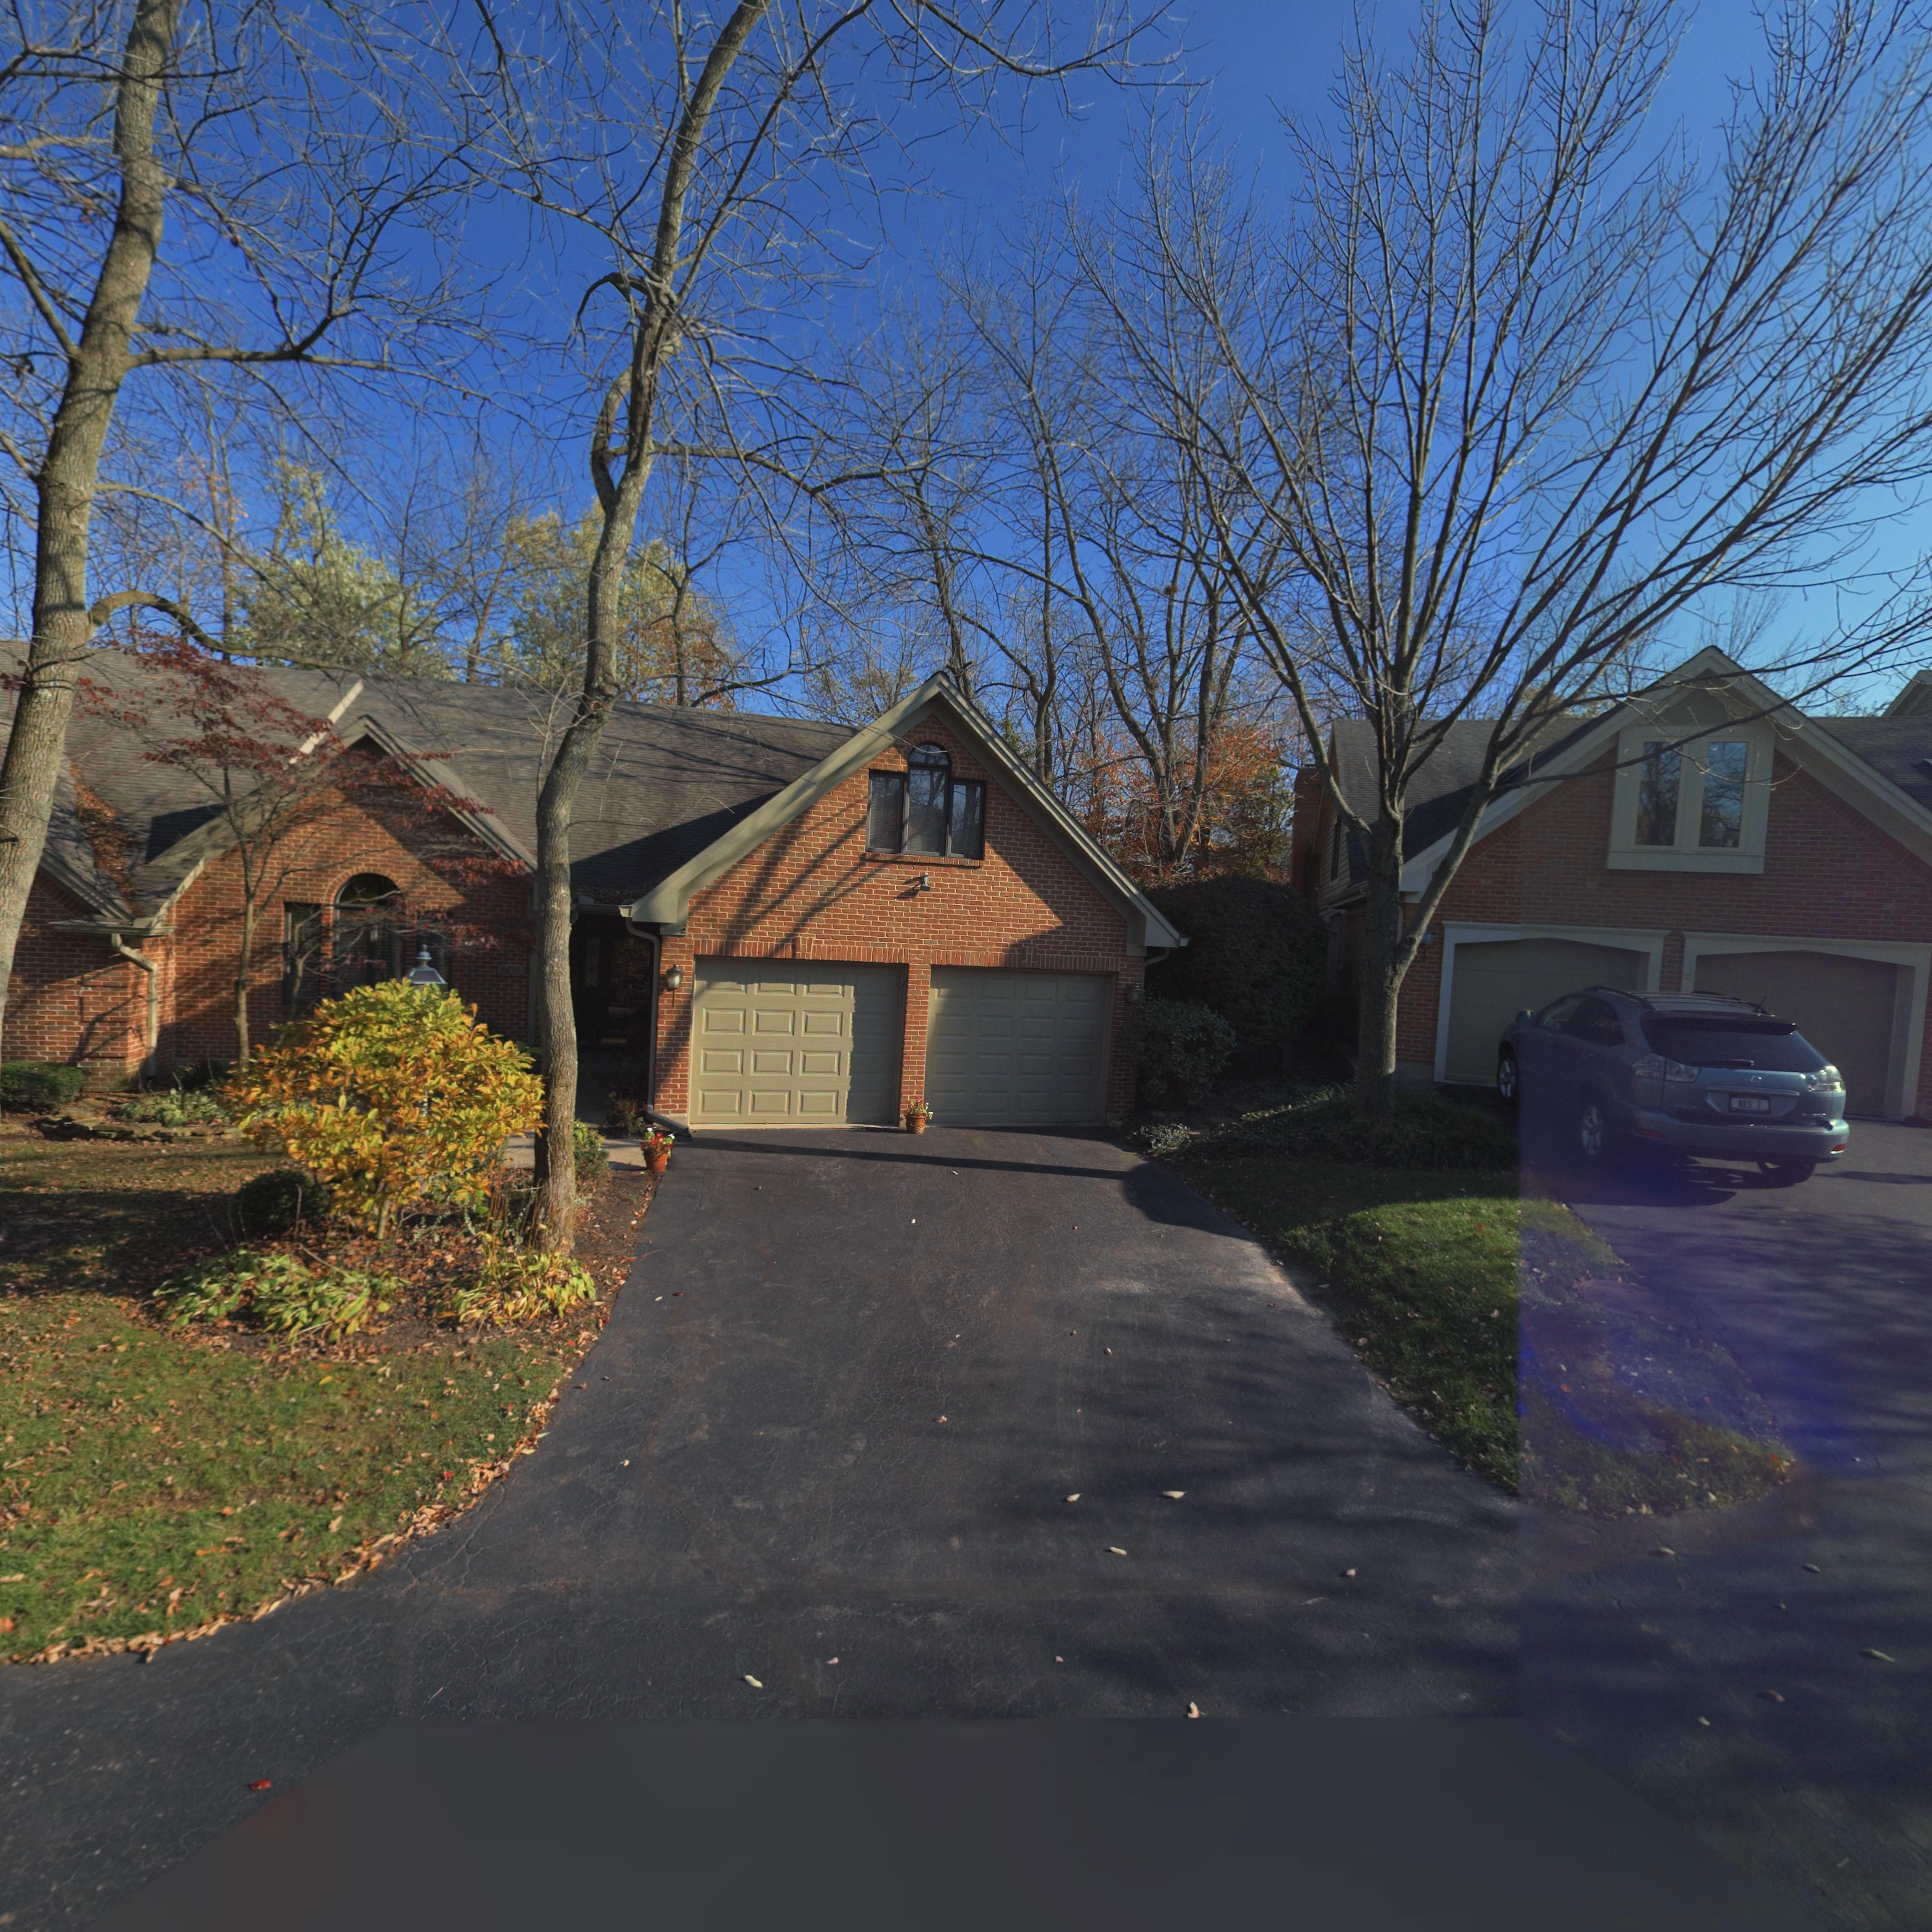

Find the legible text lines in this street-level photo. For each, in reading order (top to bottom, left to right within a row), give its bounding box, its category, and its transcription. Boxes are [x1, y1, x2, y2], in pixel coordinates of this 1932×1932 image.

[500, 965, 521, 975] StreetNumber: 805